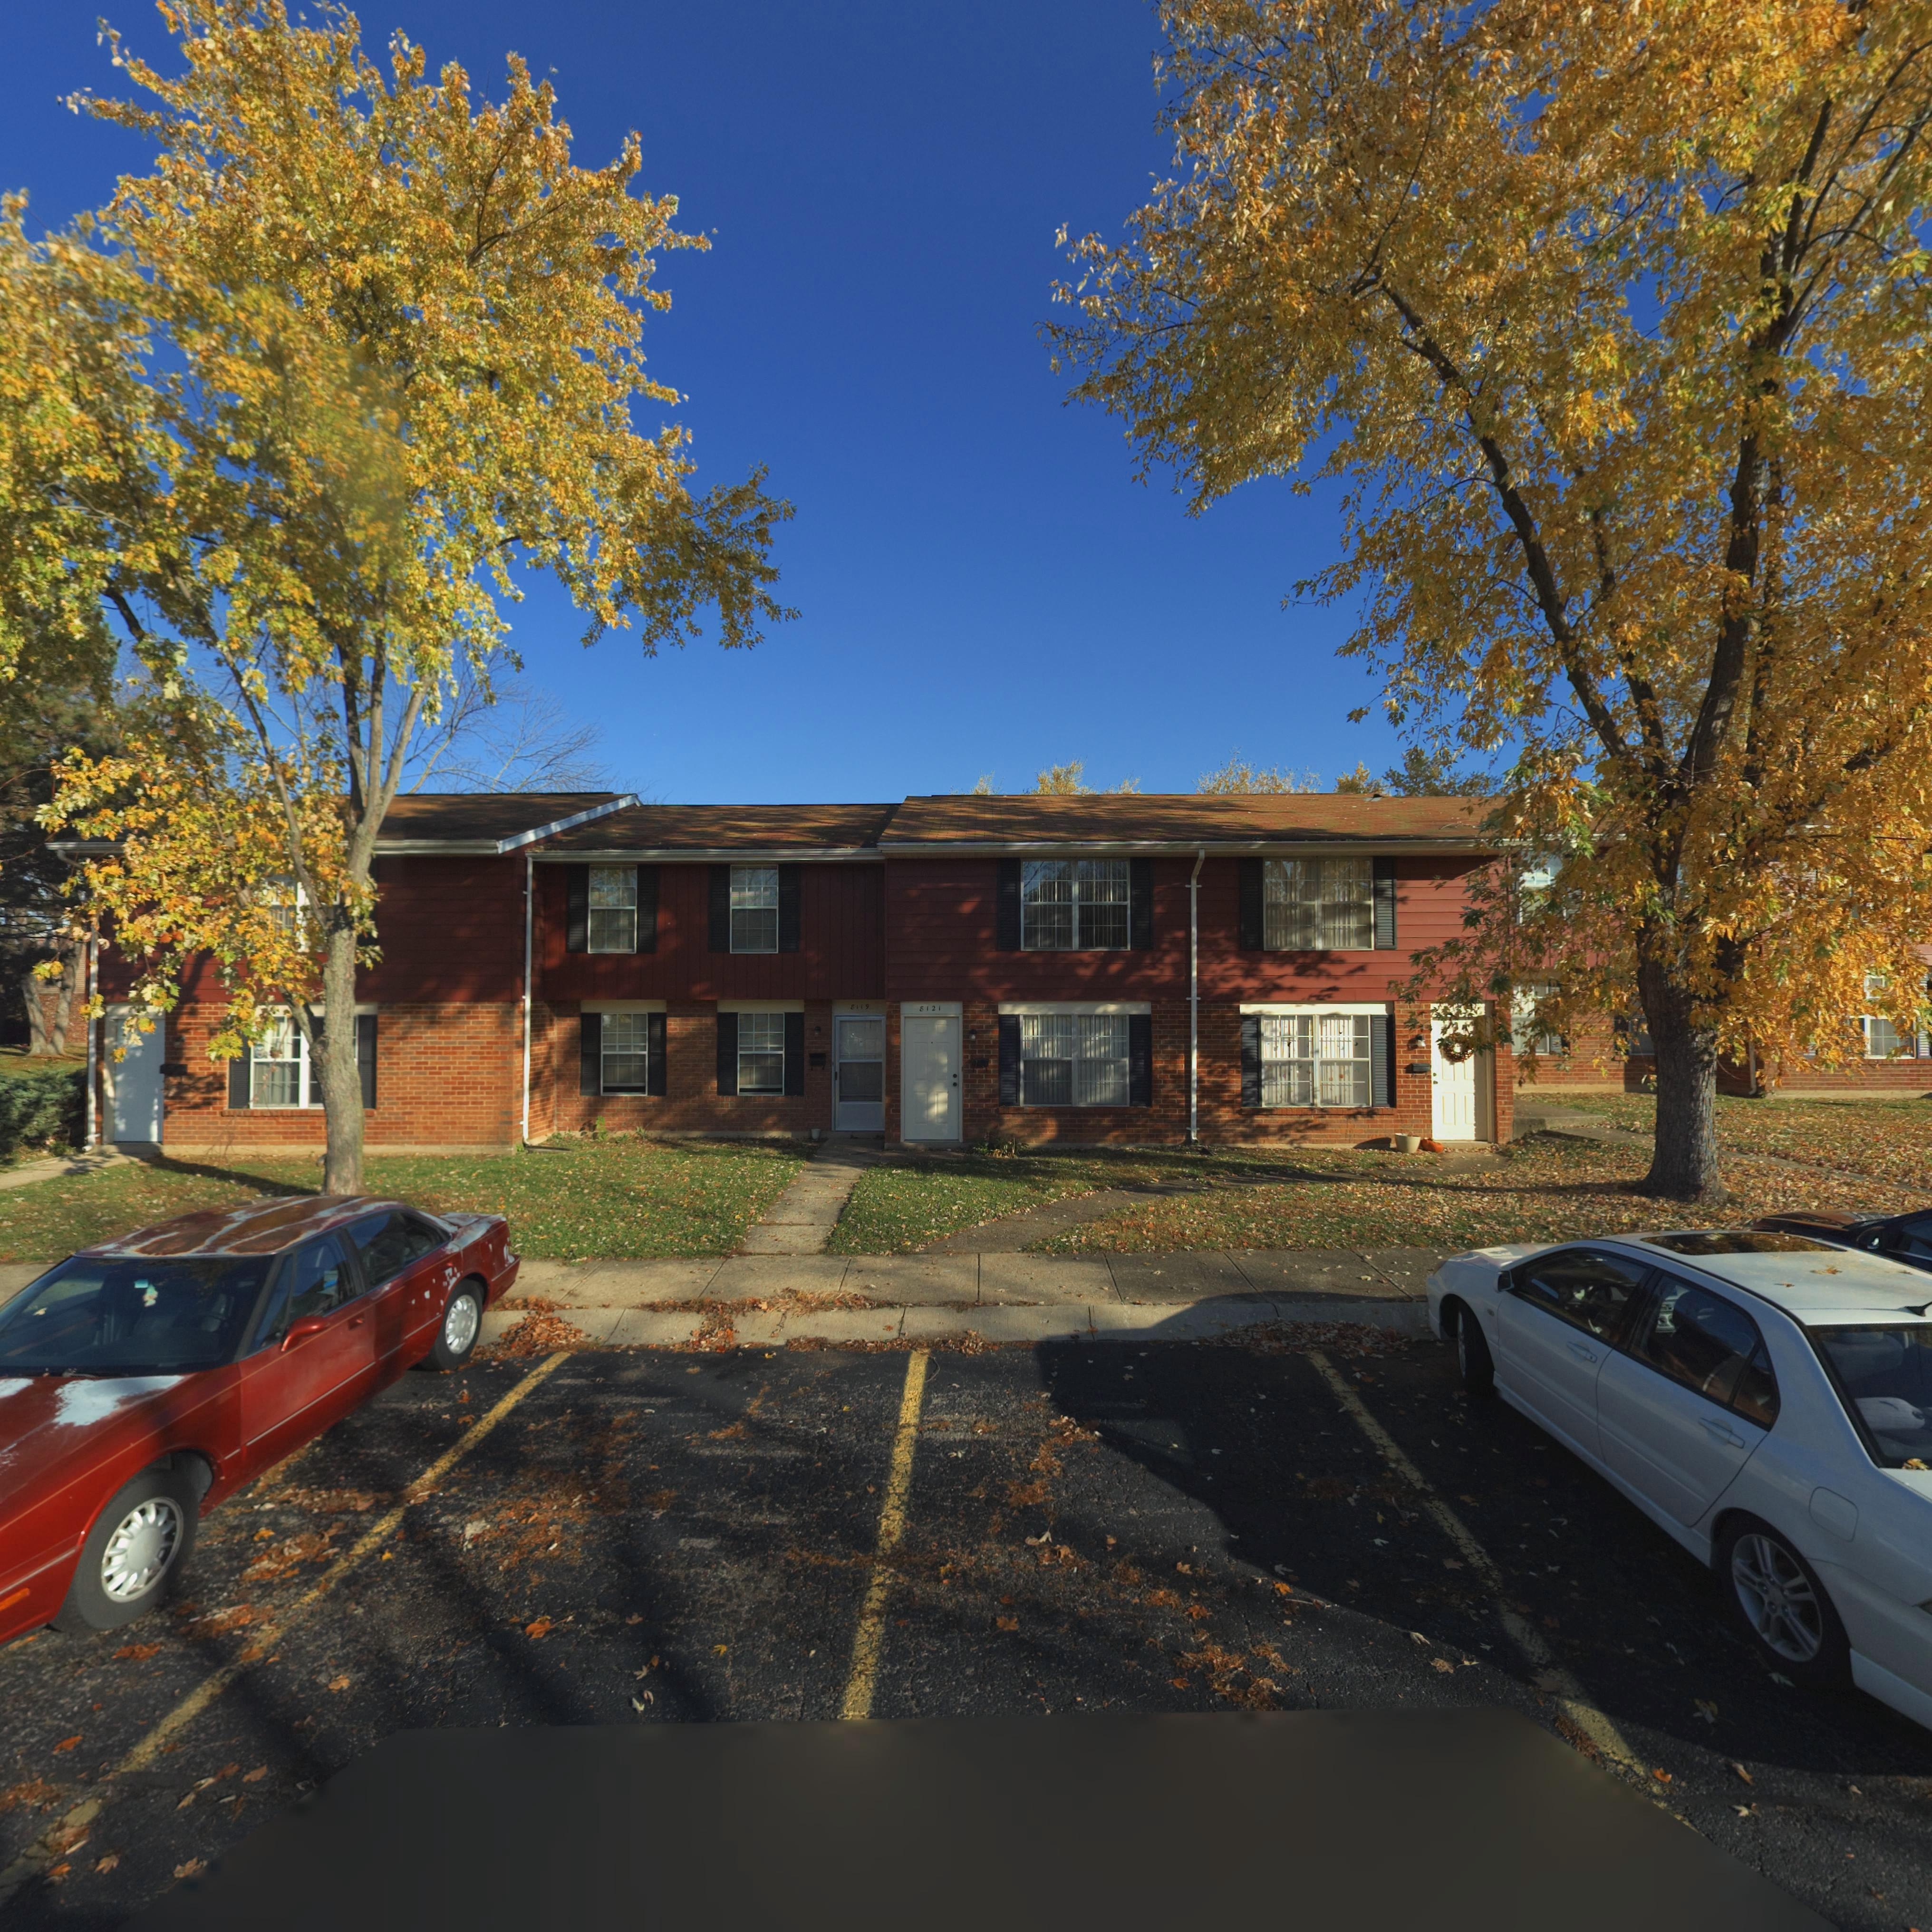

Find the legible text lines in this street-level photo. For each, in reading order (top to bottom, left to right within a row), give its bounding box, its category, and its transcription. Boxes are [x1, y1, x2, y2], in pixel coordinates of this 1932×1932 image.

[850, 1003, 870, 1011] StreetNumber: 8119
[918, 1004, 941, 1013] StreetNumber: 8121